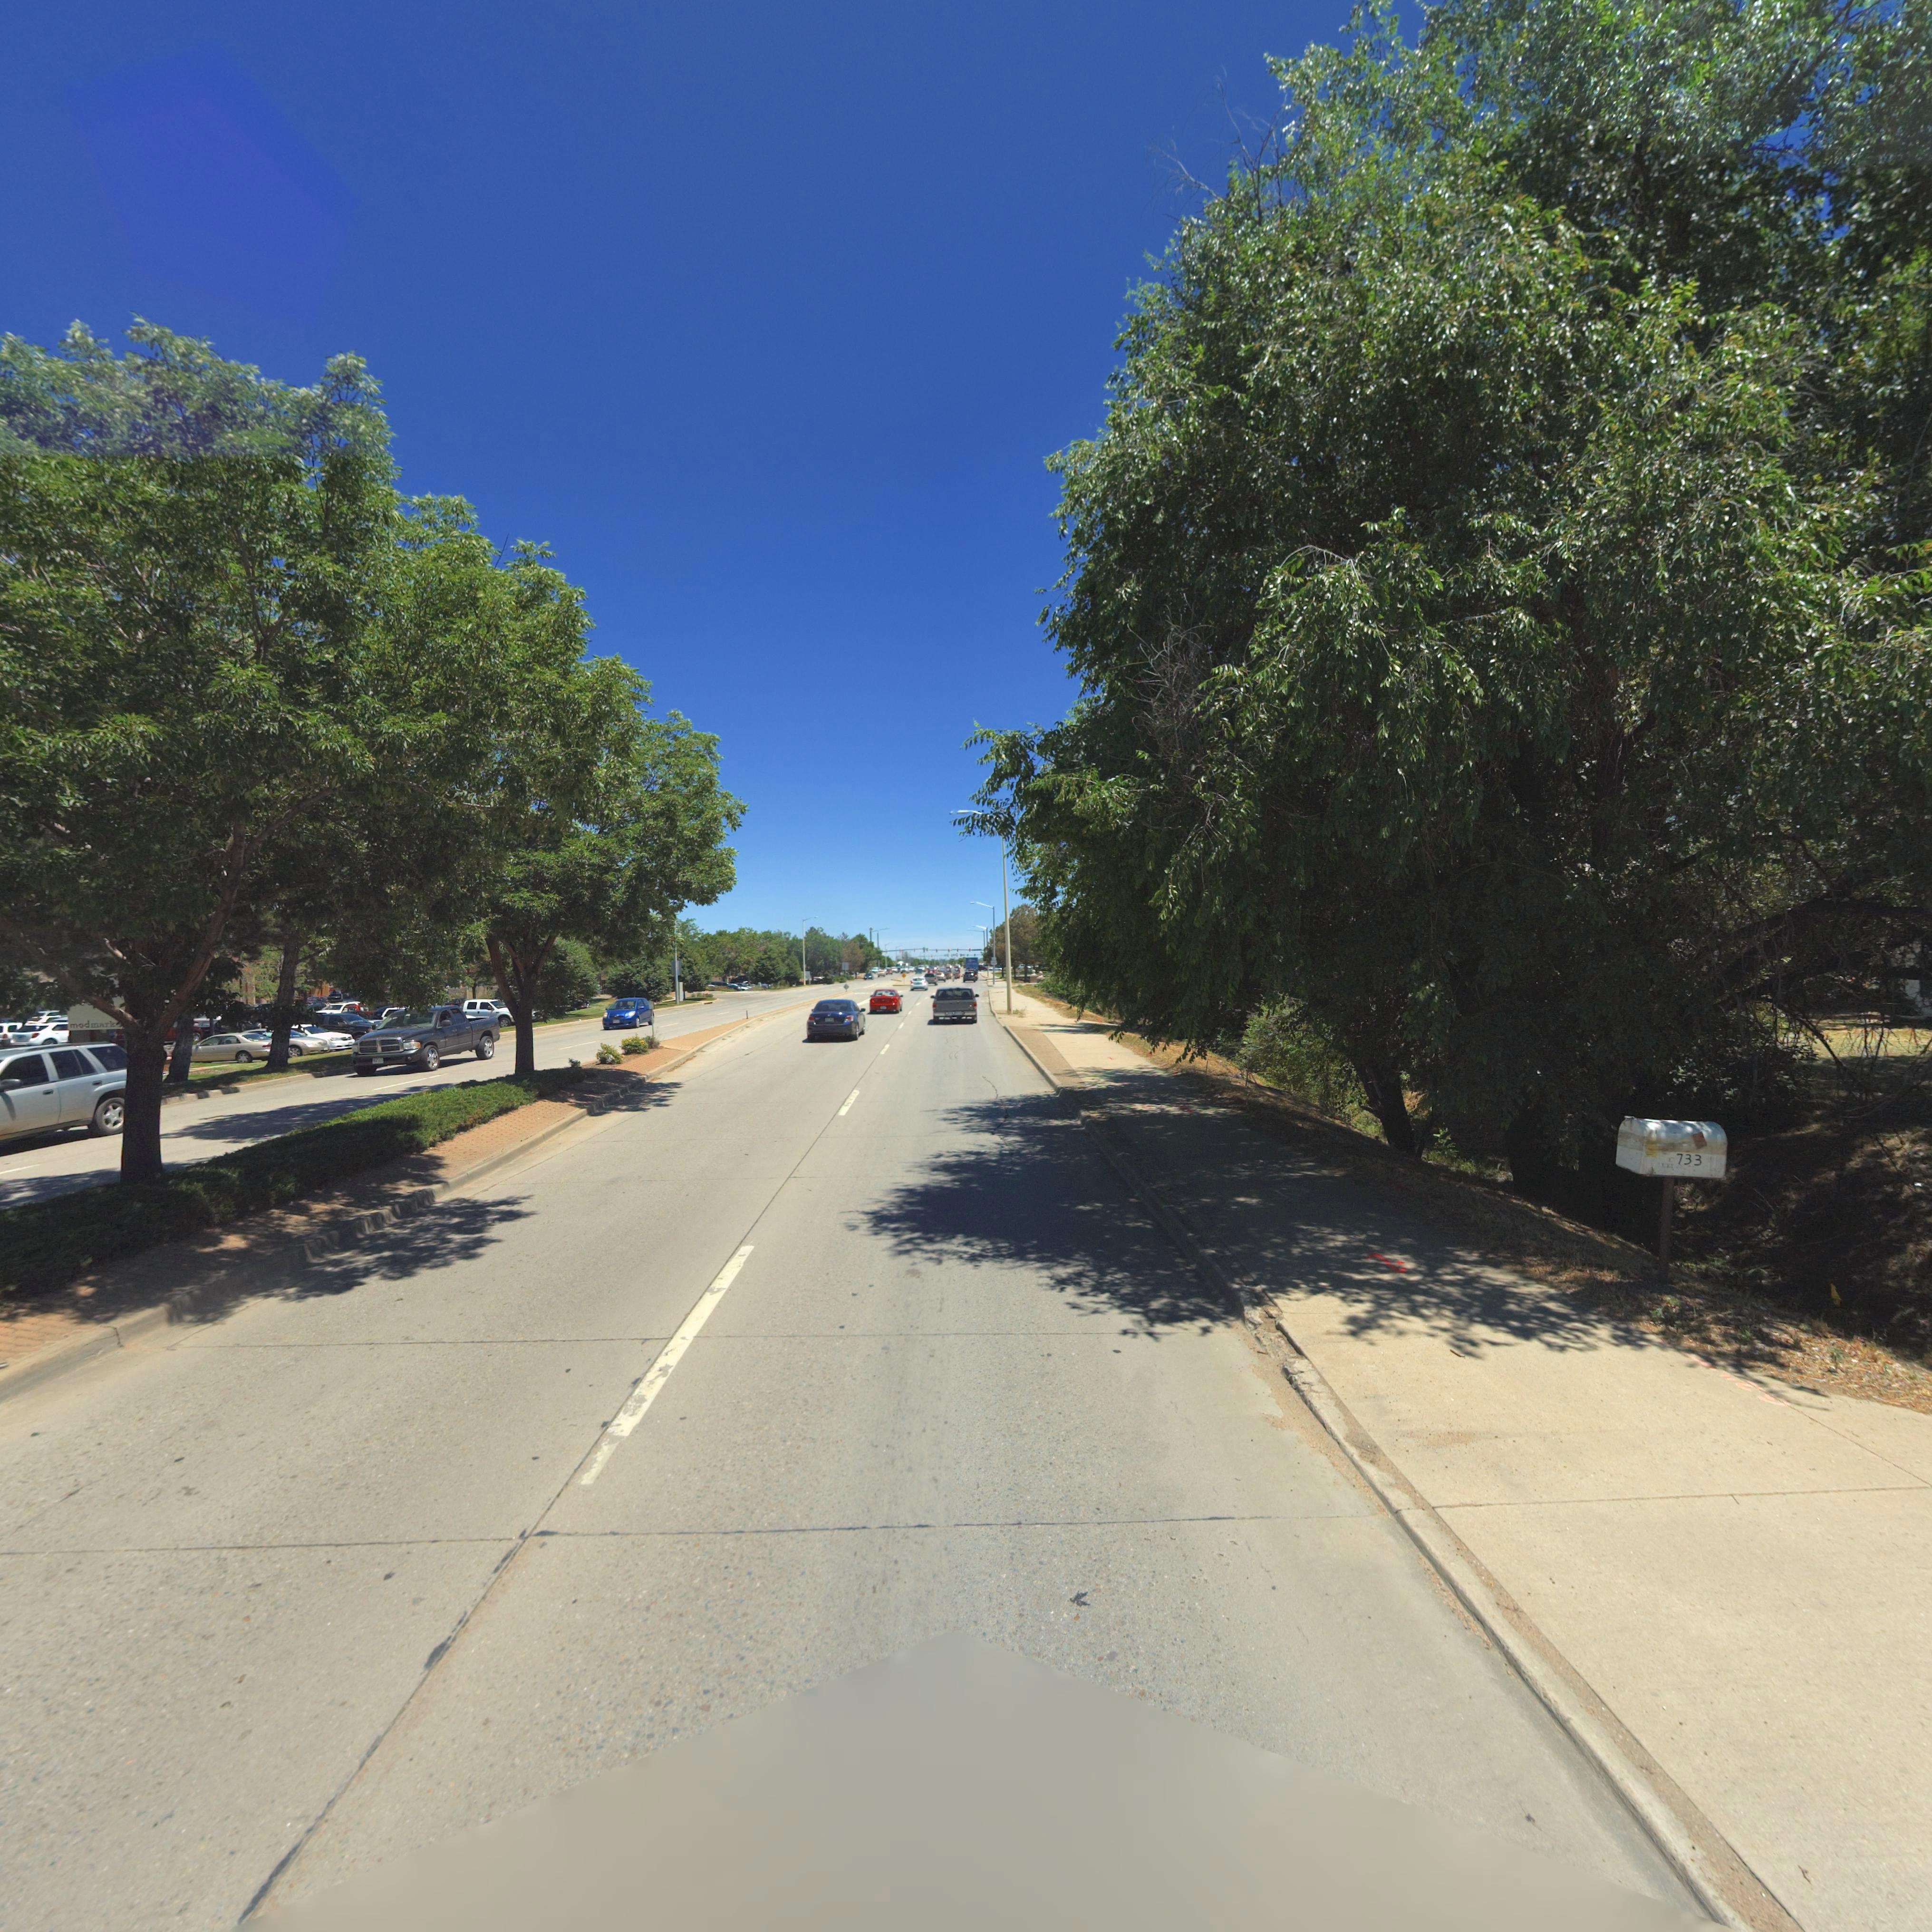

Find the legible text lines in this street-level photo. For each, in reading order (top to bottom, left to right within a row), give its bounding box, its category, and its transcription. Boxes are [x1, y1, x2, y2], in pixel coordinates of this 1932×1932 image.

[69, 1019, 122, 1029] BusinessName: modmark
[1675, 1152, 1702, 1166] StreetNumber: 733